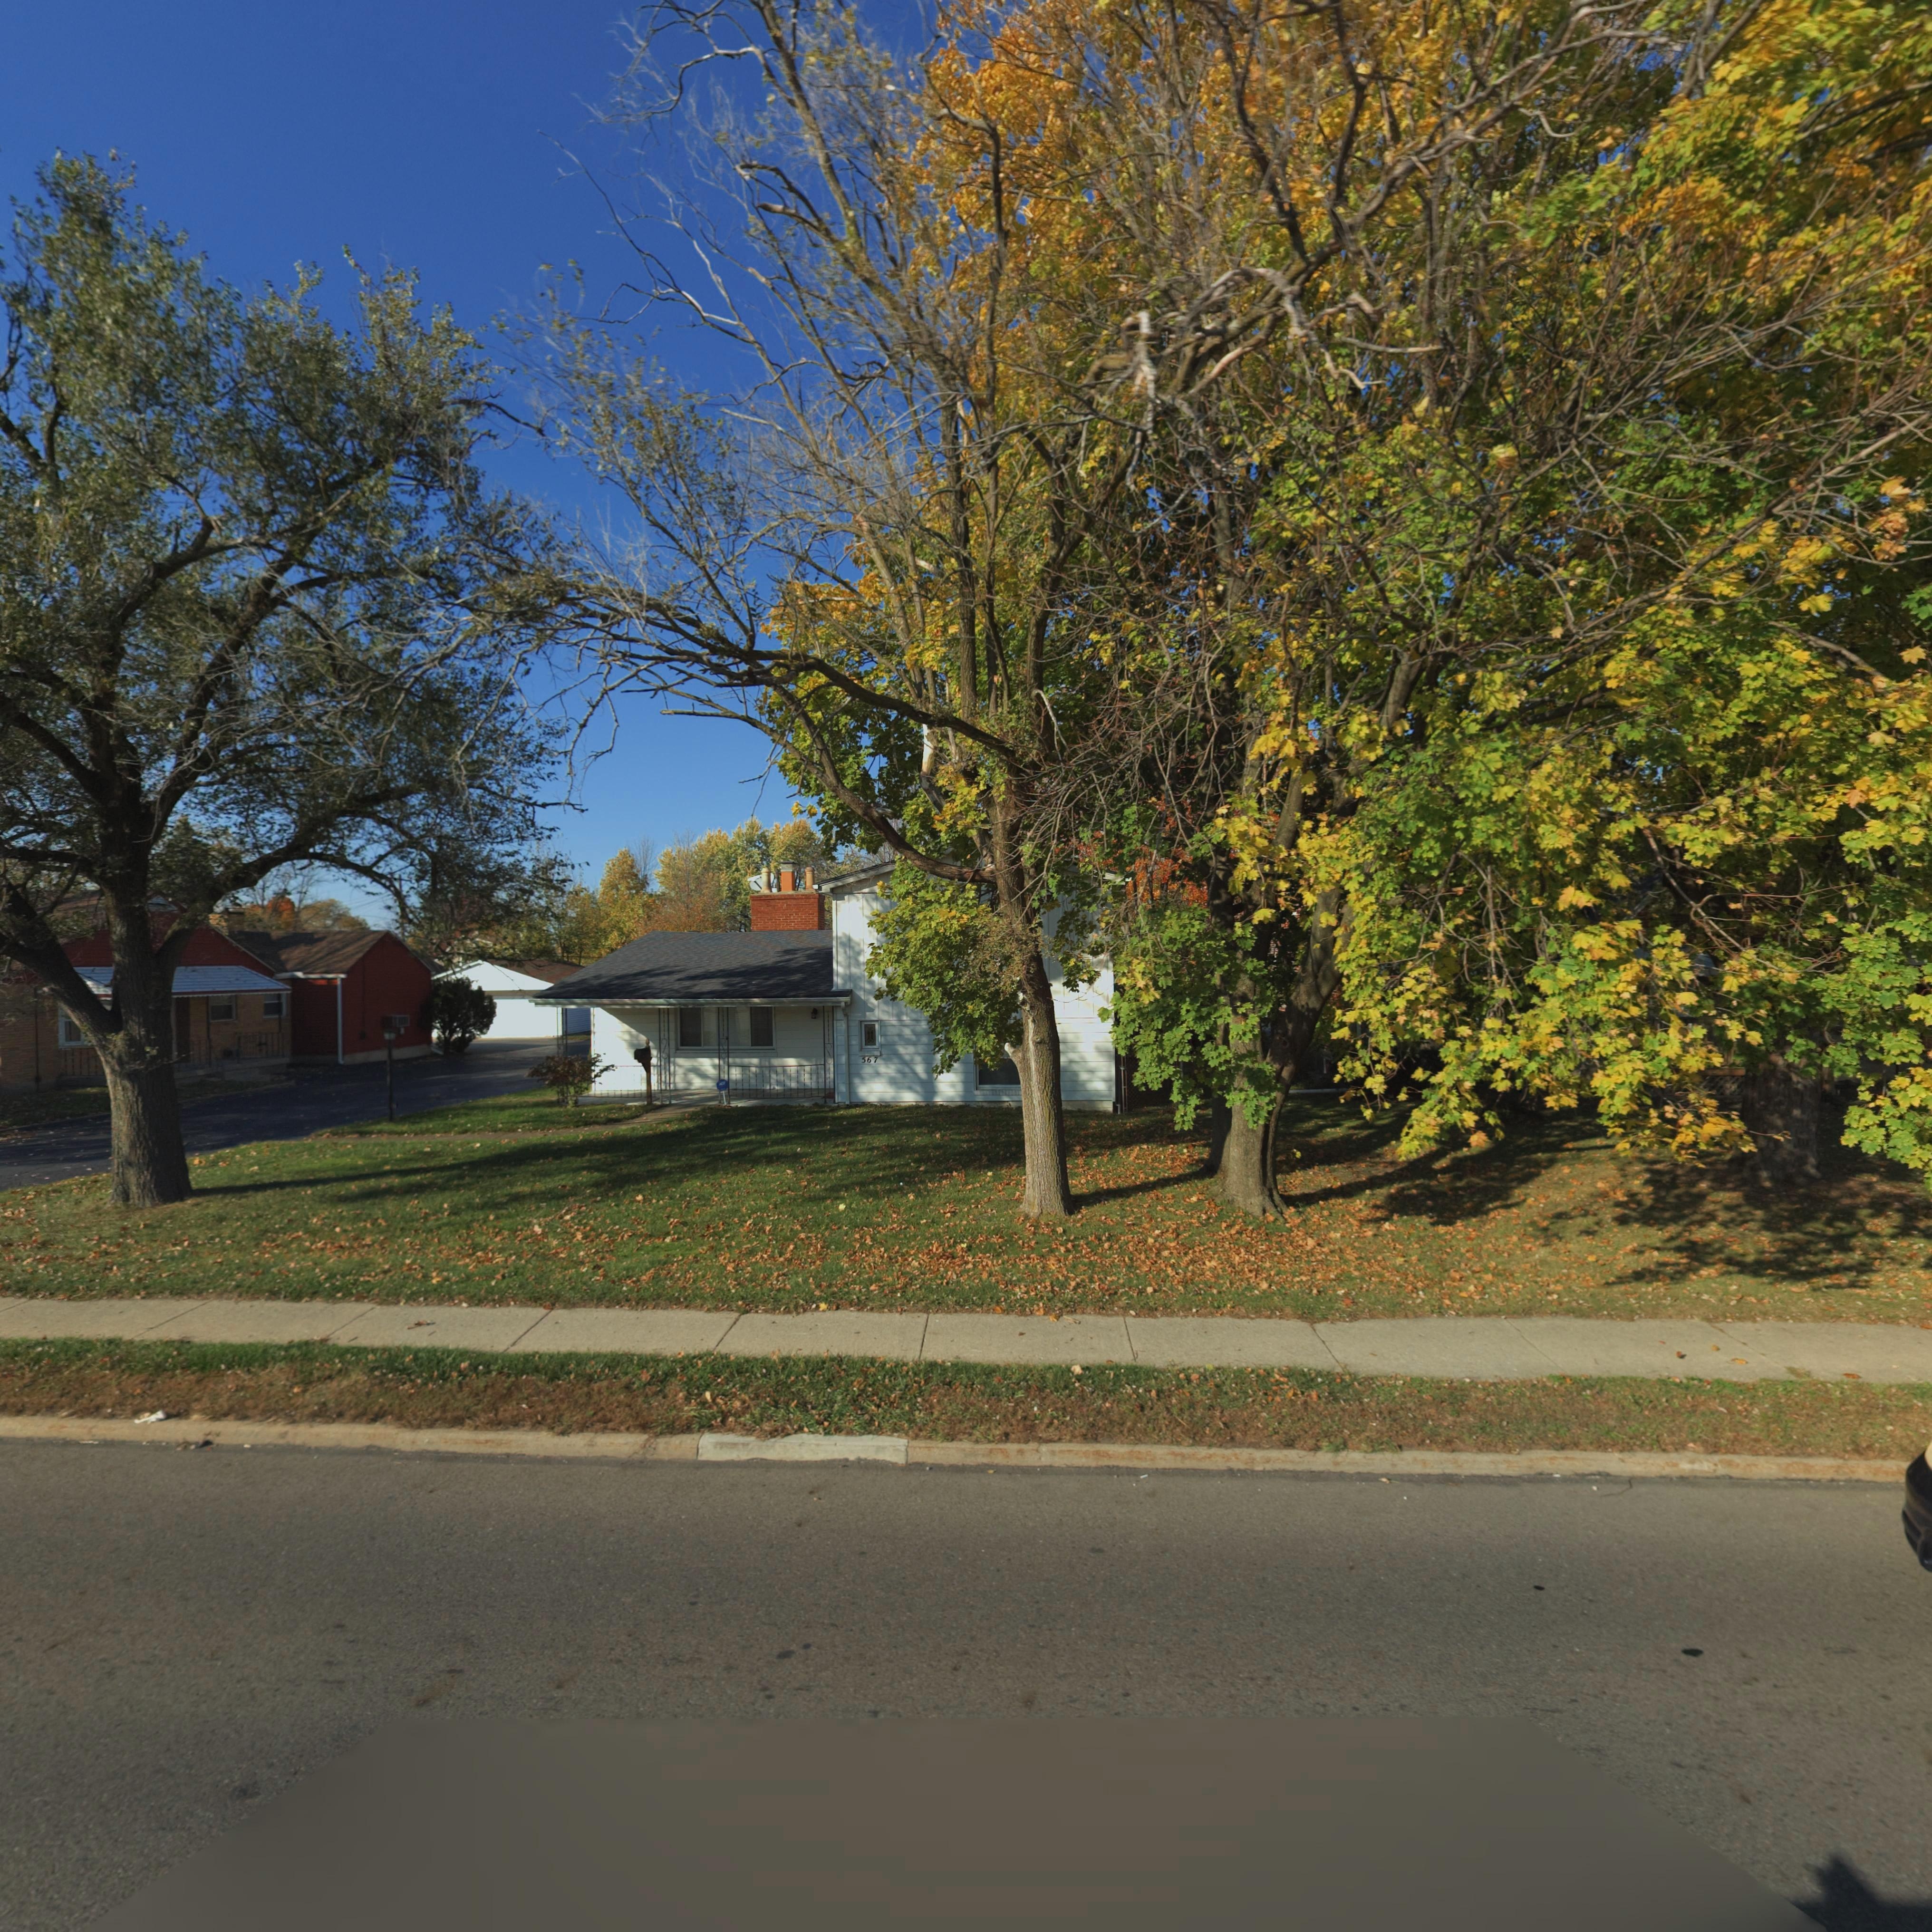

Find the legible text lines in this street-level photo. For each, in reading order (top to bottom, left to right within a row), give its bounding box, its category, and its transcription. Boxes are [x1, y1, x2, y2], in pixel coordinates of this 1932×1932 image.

[861, 1056, 879, 1063] StreetNumber: 567